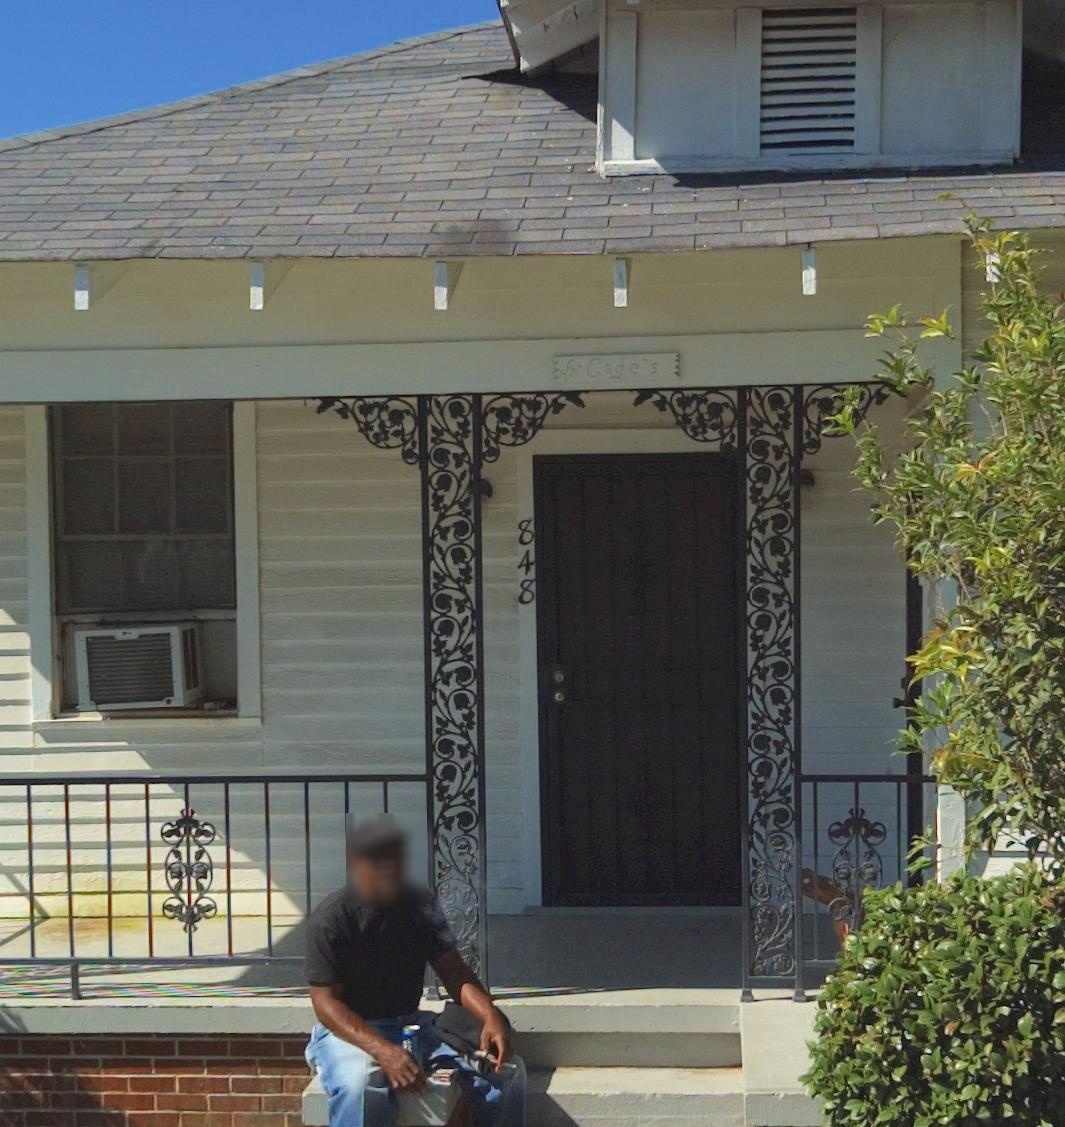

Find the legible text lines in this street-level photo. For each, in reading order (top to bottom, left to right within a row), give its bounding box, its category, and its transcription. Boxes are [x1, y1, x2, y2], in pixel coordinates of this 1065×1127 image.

[583, 354, 661, 382] None: Cage's
[515, 516, 537, 607] StreetNumber: 848